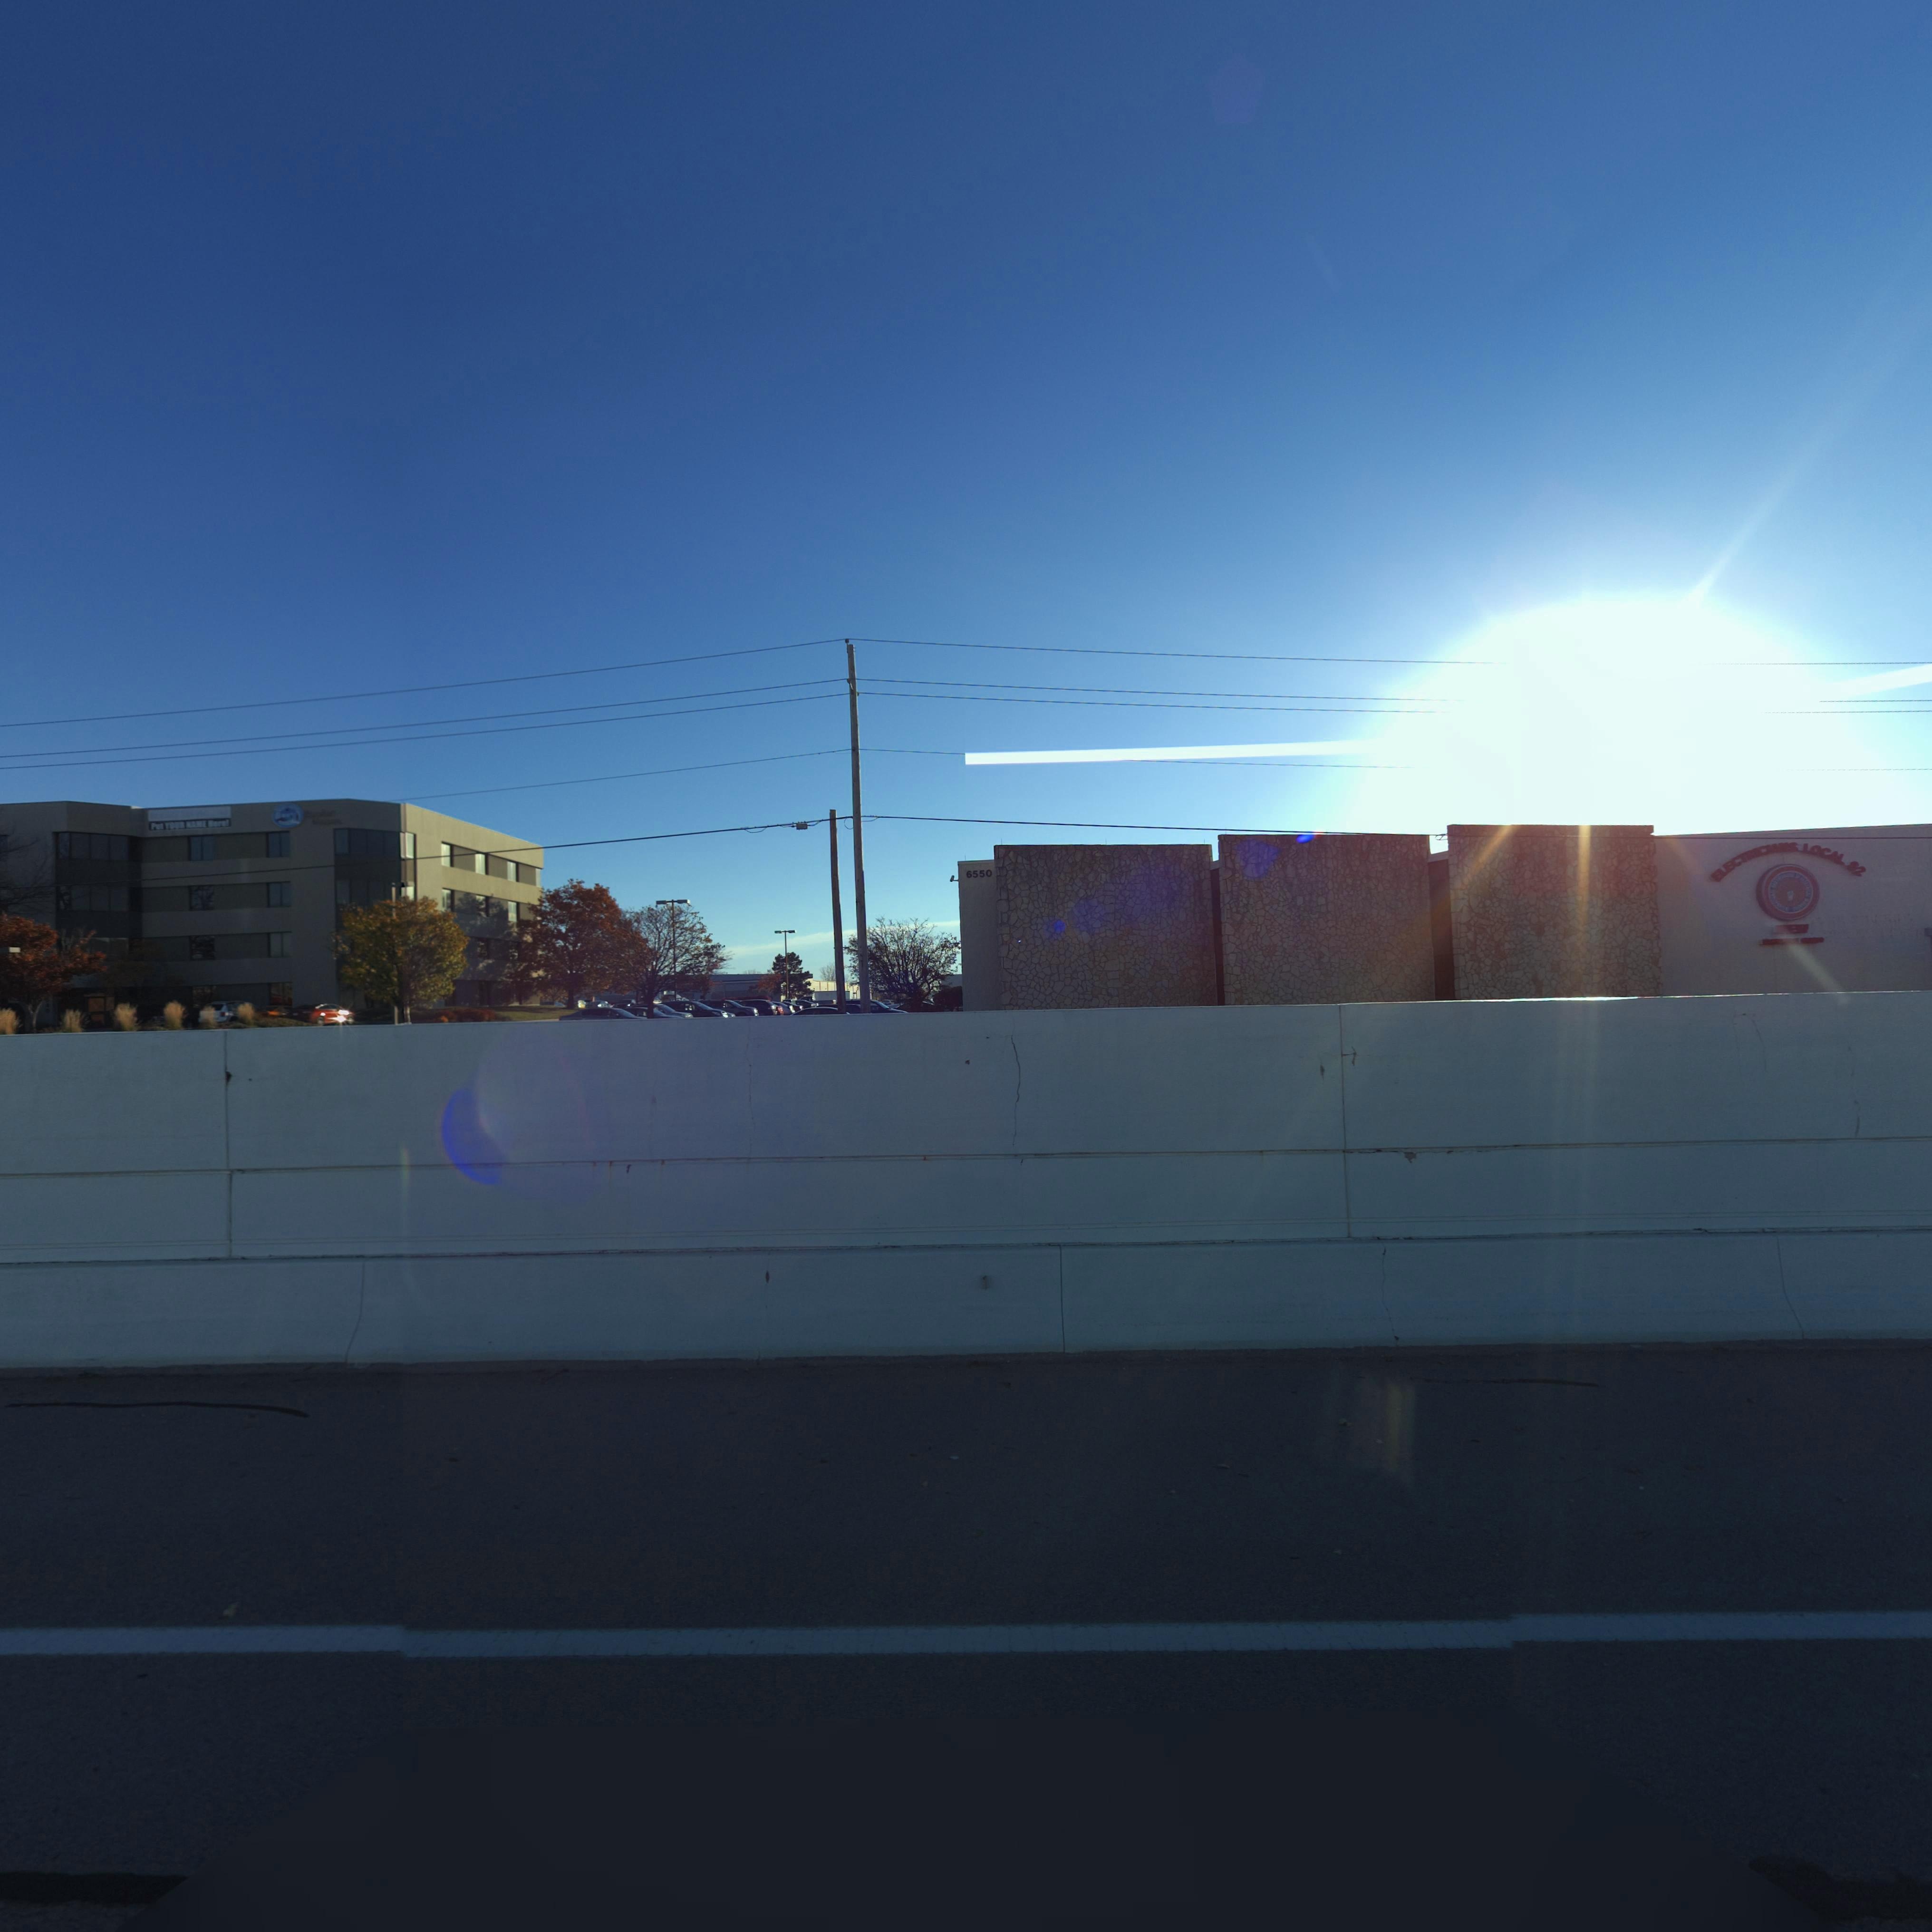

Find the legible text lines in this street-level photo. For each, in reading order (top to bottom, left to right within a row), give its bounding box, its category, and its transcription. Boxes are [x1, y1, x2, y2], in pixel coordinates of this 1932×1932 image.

[965, 868, 994, 879] StreetNumber: 6550
[1708, 840, 1870, 883] None: ELECTRICIANS LOCAL 82